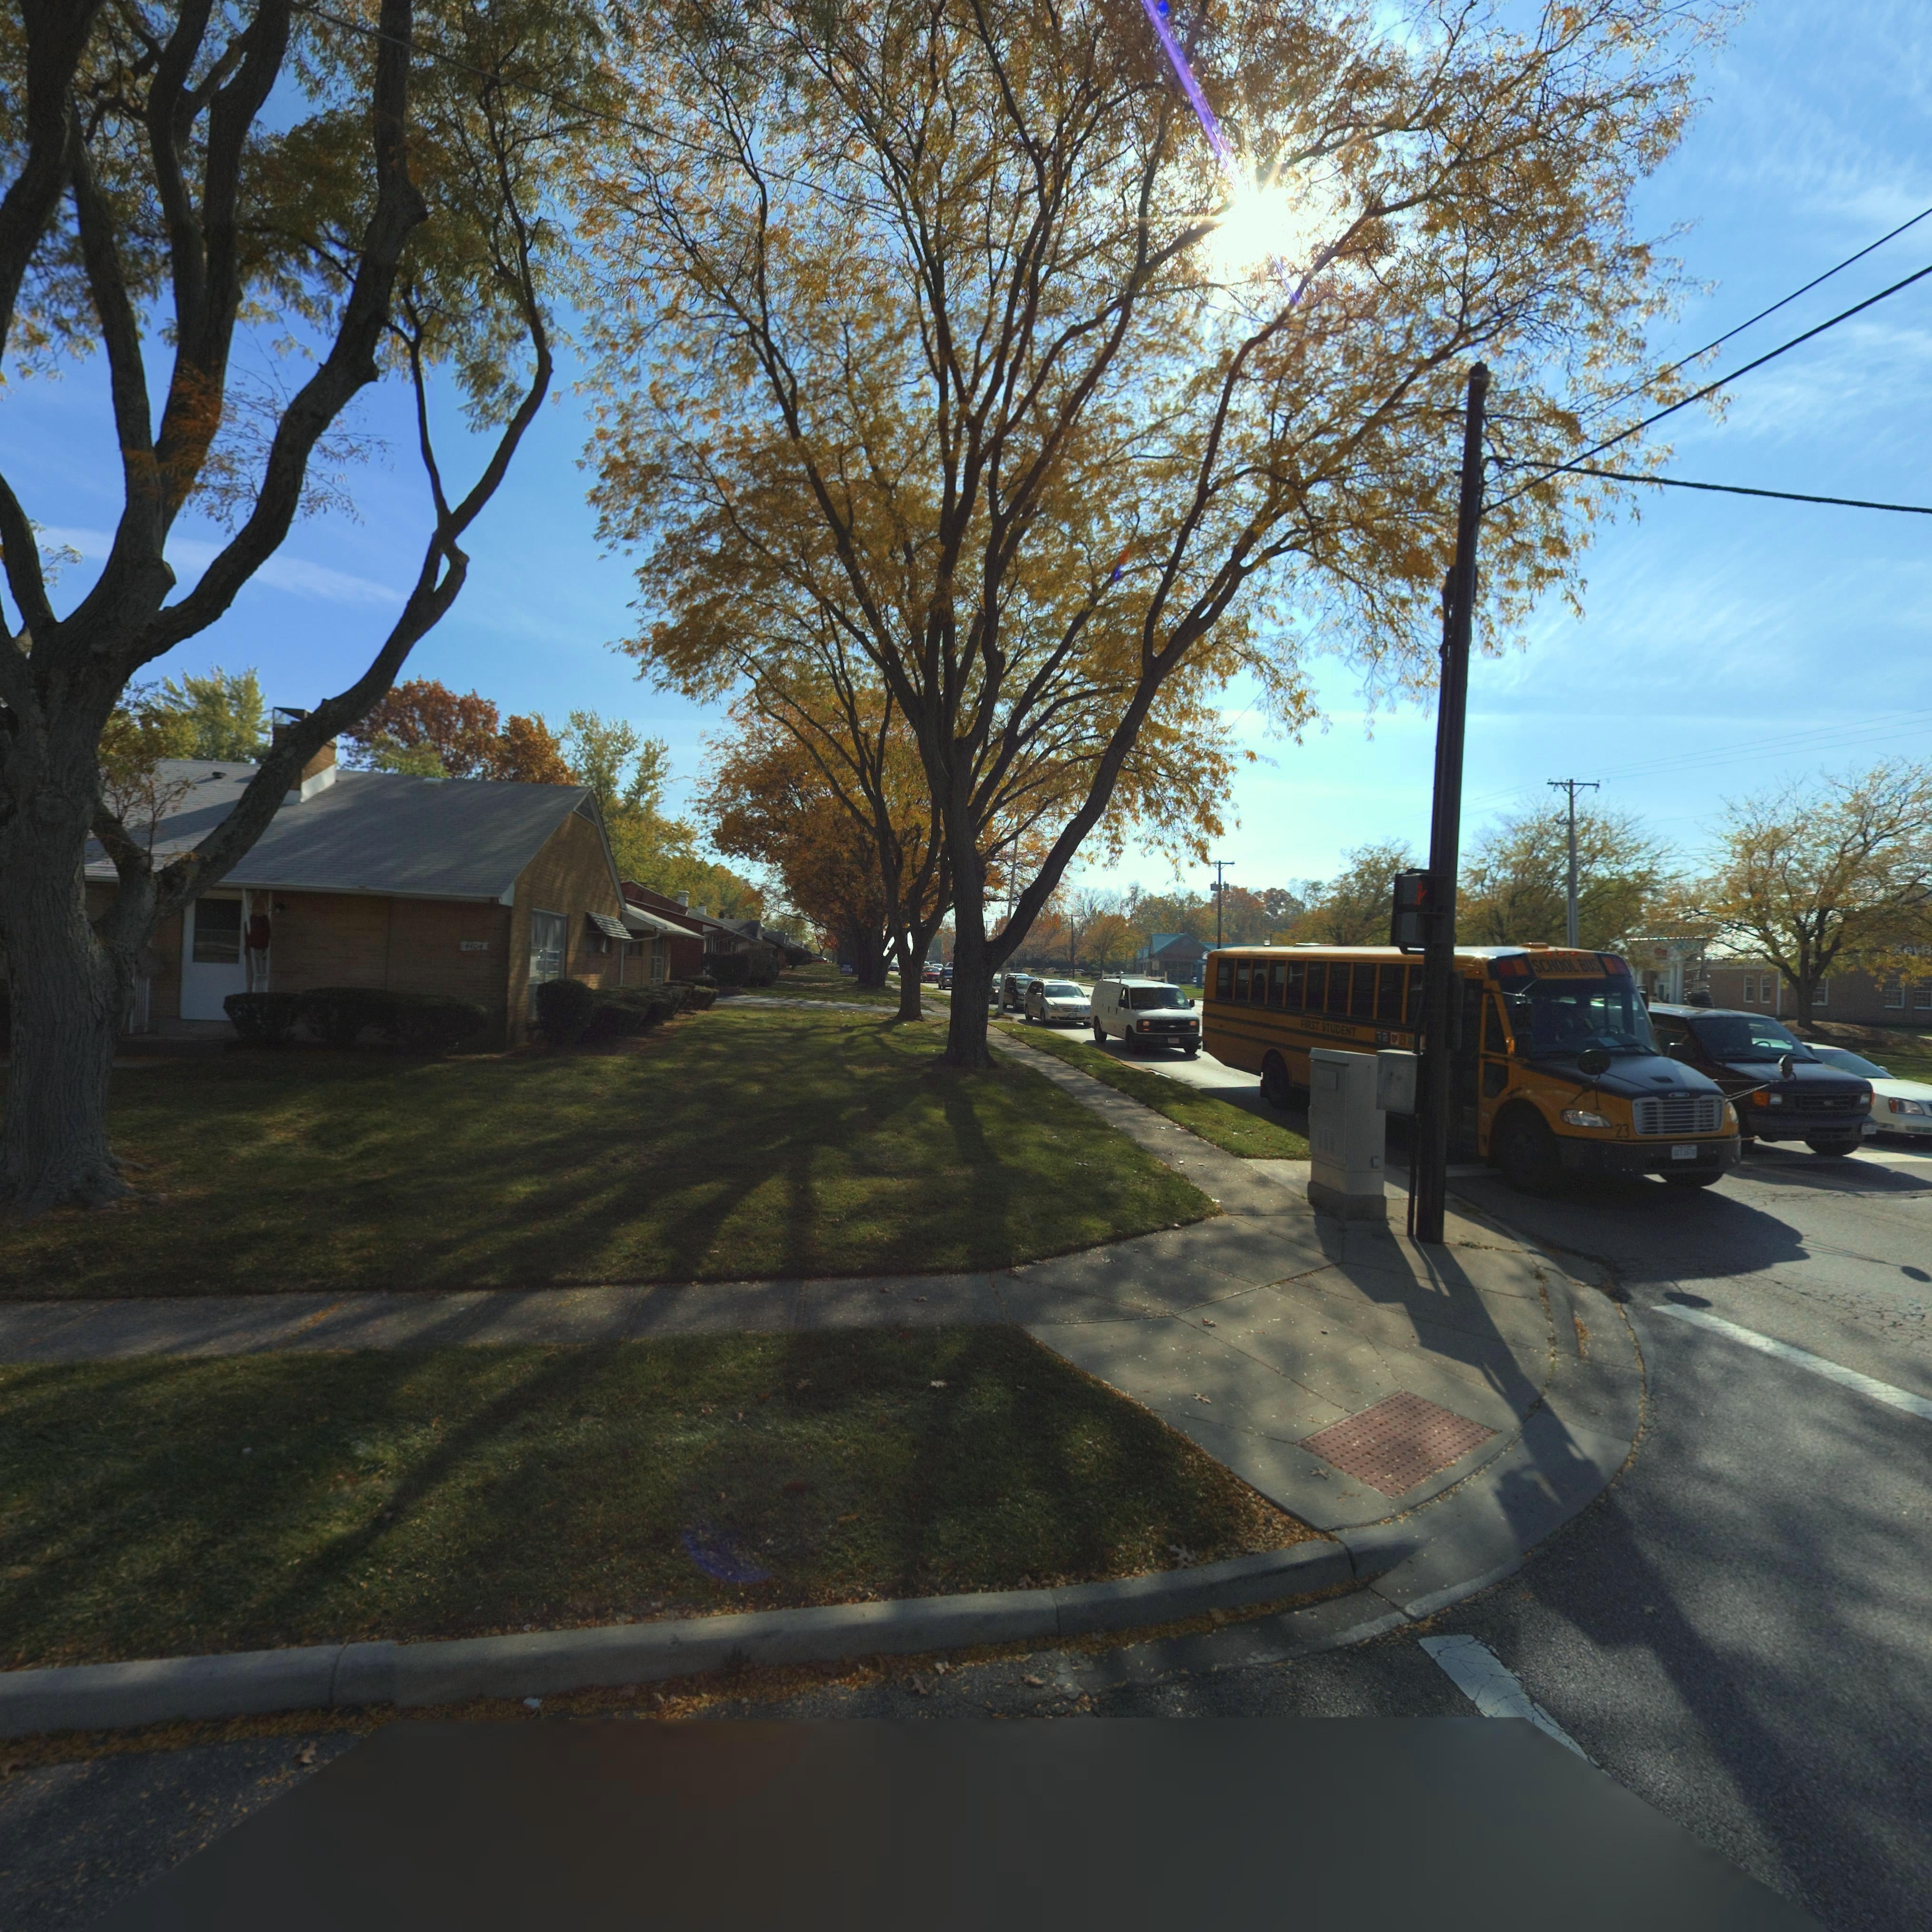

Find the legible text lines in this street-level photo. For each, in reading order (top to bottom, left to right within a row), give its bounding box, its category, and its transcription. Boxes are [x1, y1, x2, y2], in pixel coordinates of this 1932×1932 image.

[463, 941, 484, 951] StreetNumber: 4404